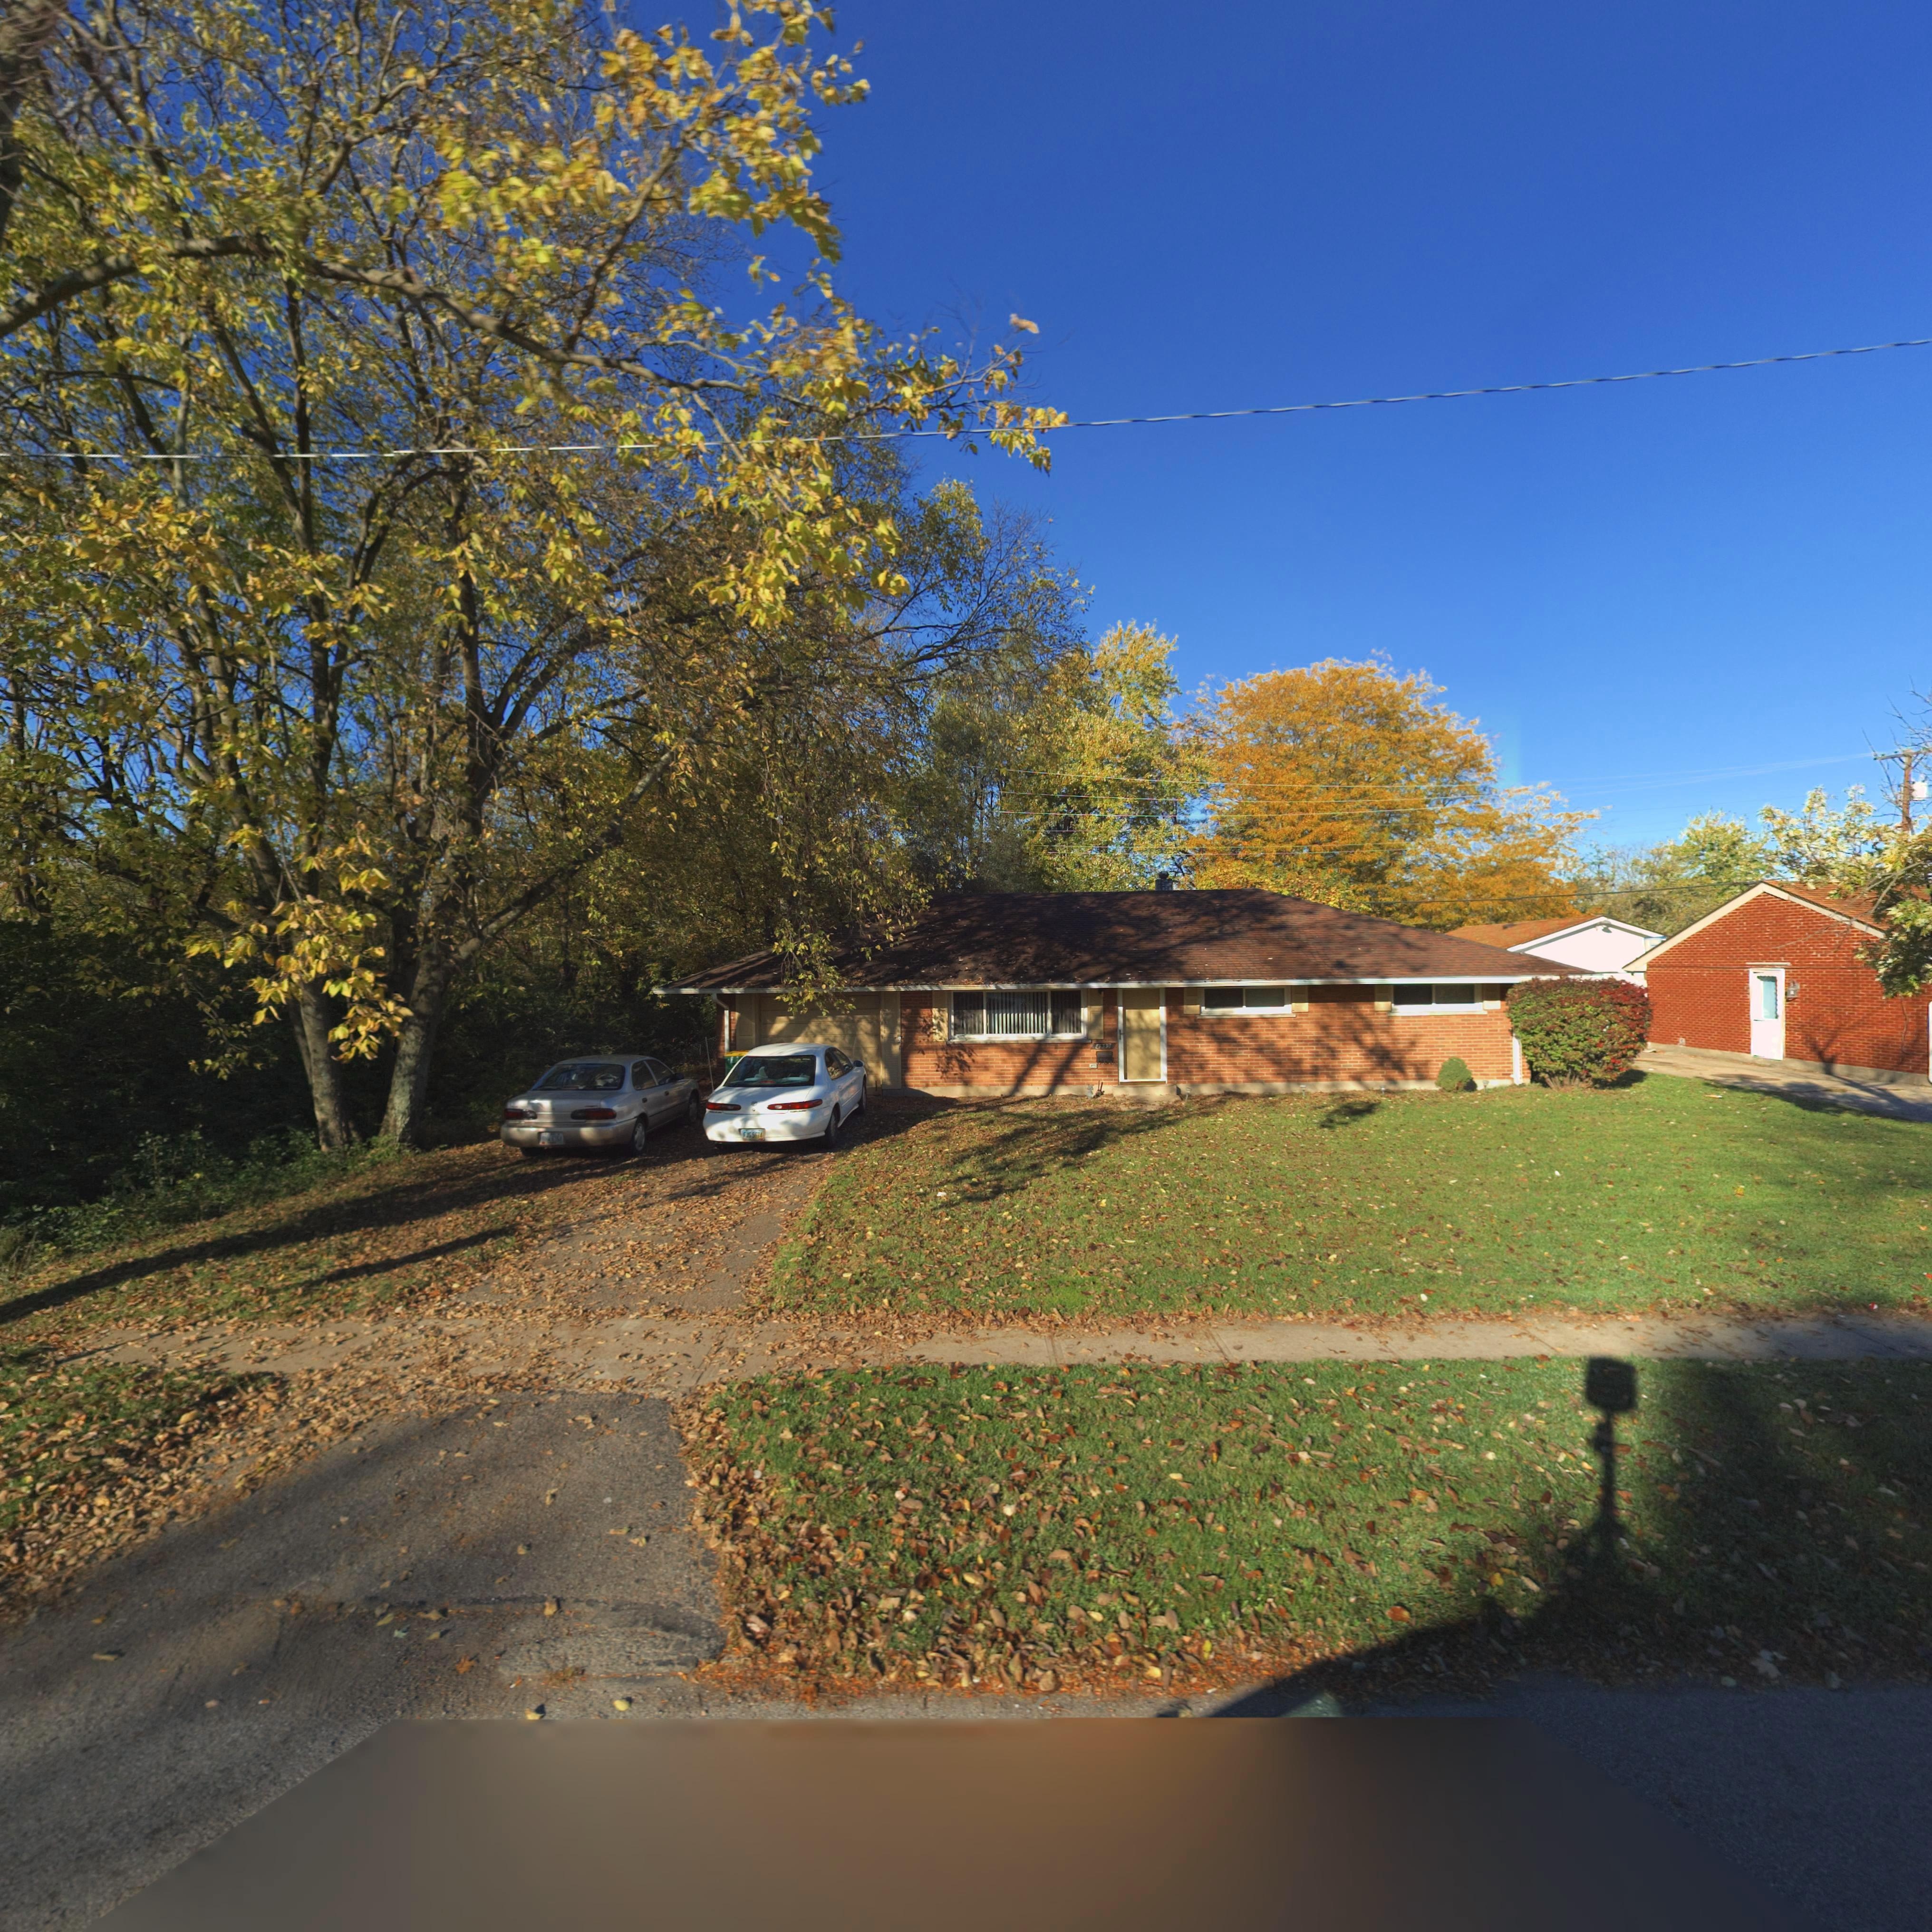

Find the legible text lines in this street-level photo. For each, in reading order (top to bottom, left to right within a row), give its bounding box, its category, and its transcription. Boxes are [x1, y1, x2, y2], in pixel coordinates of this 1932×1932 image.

[1096, 1043, 1111, 1048] StreetNumber: 4999